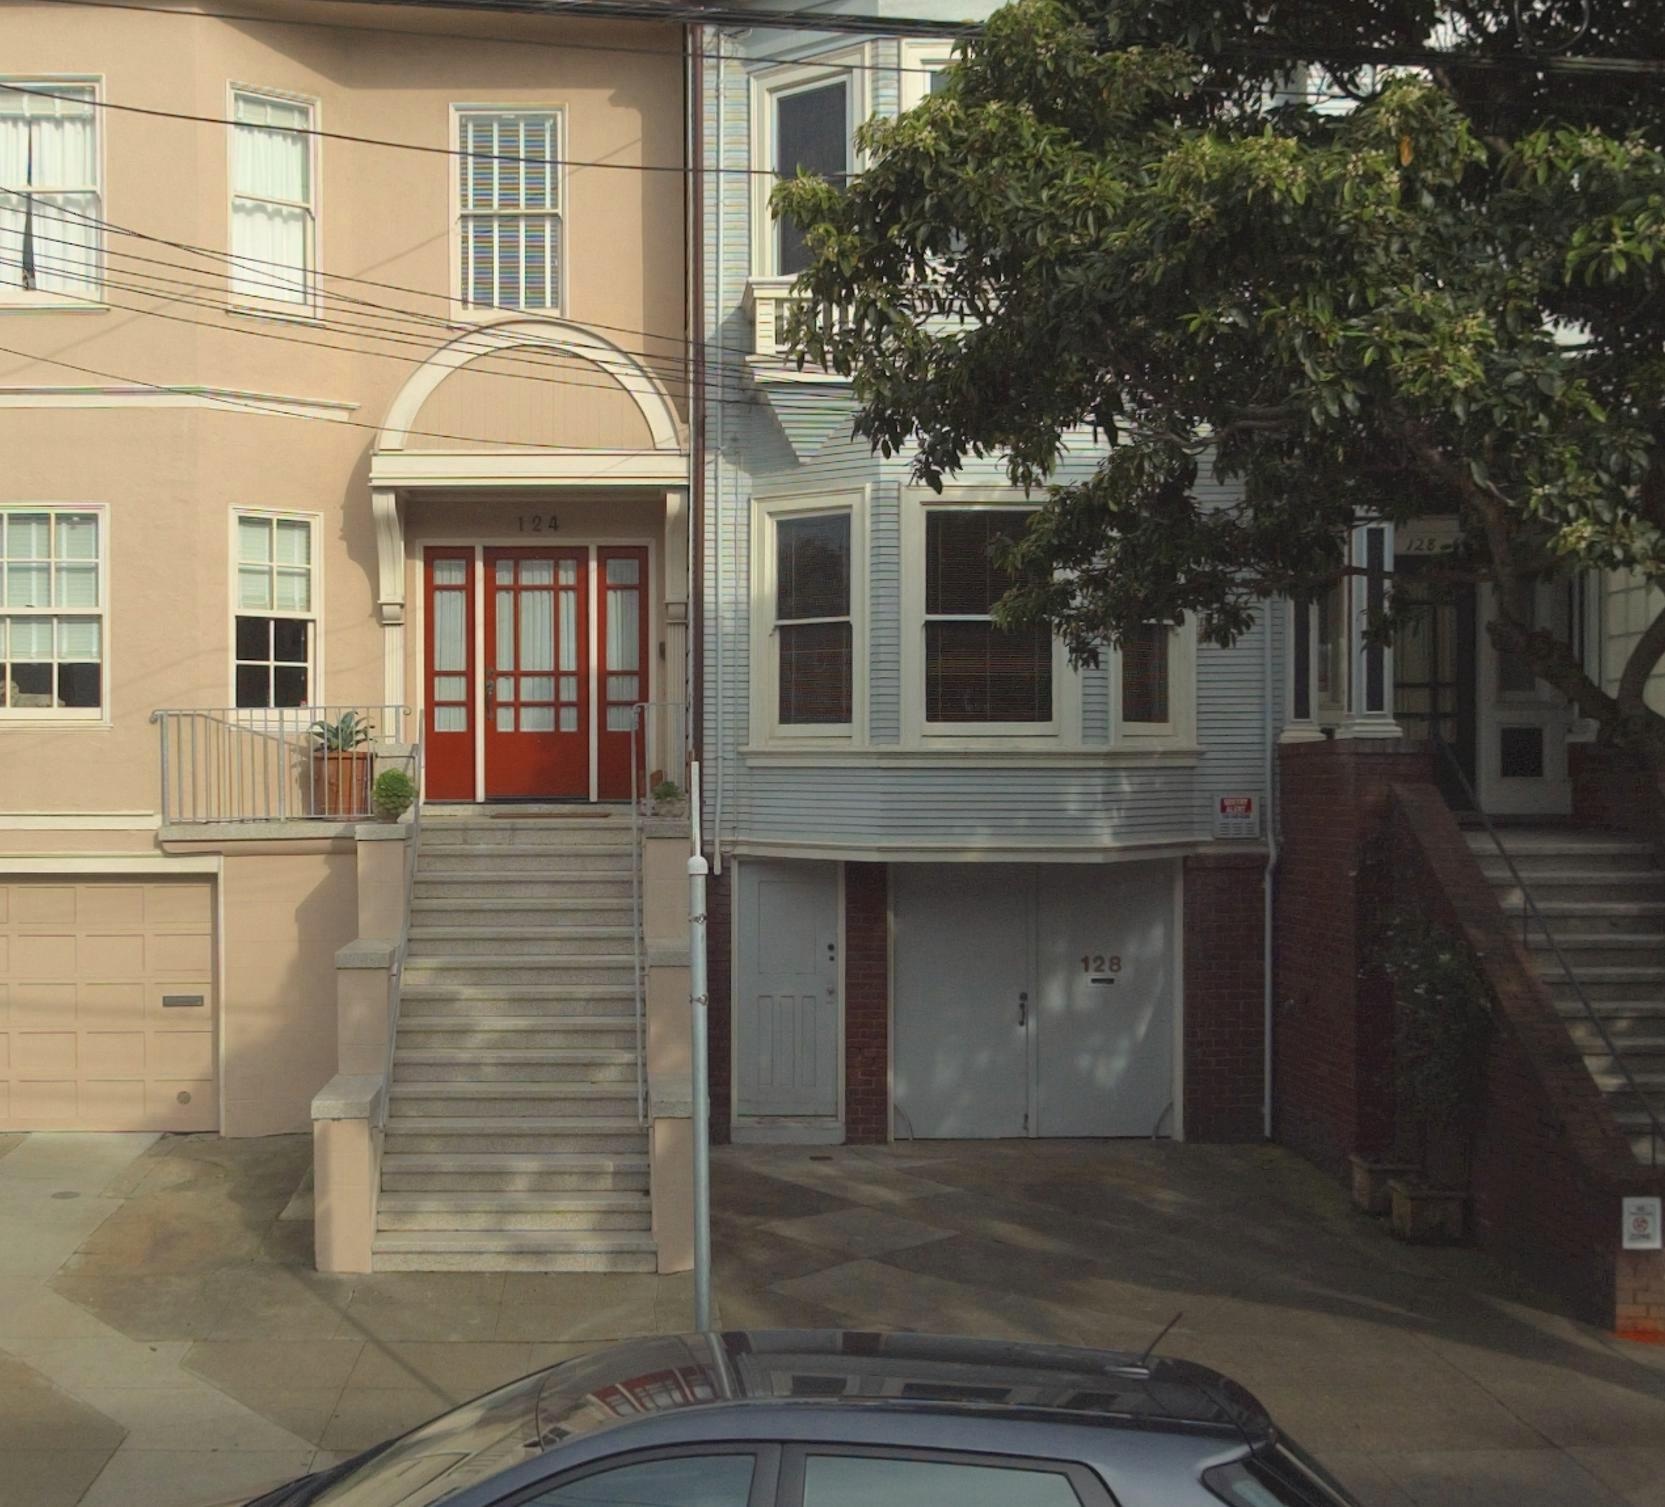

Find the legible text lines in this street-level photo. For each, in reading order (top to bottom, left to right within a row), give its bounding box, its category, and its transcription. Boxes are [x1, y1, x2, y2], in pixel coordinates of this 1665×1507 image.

[517, 514, 560, 533] StreetNumber: 124
[1404, 537, 1437, 552] StreetNumber: 128
[1080, 954, 1122, 974] StreetNumber: 128